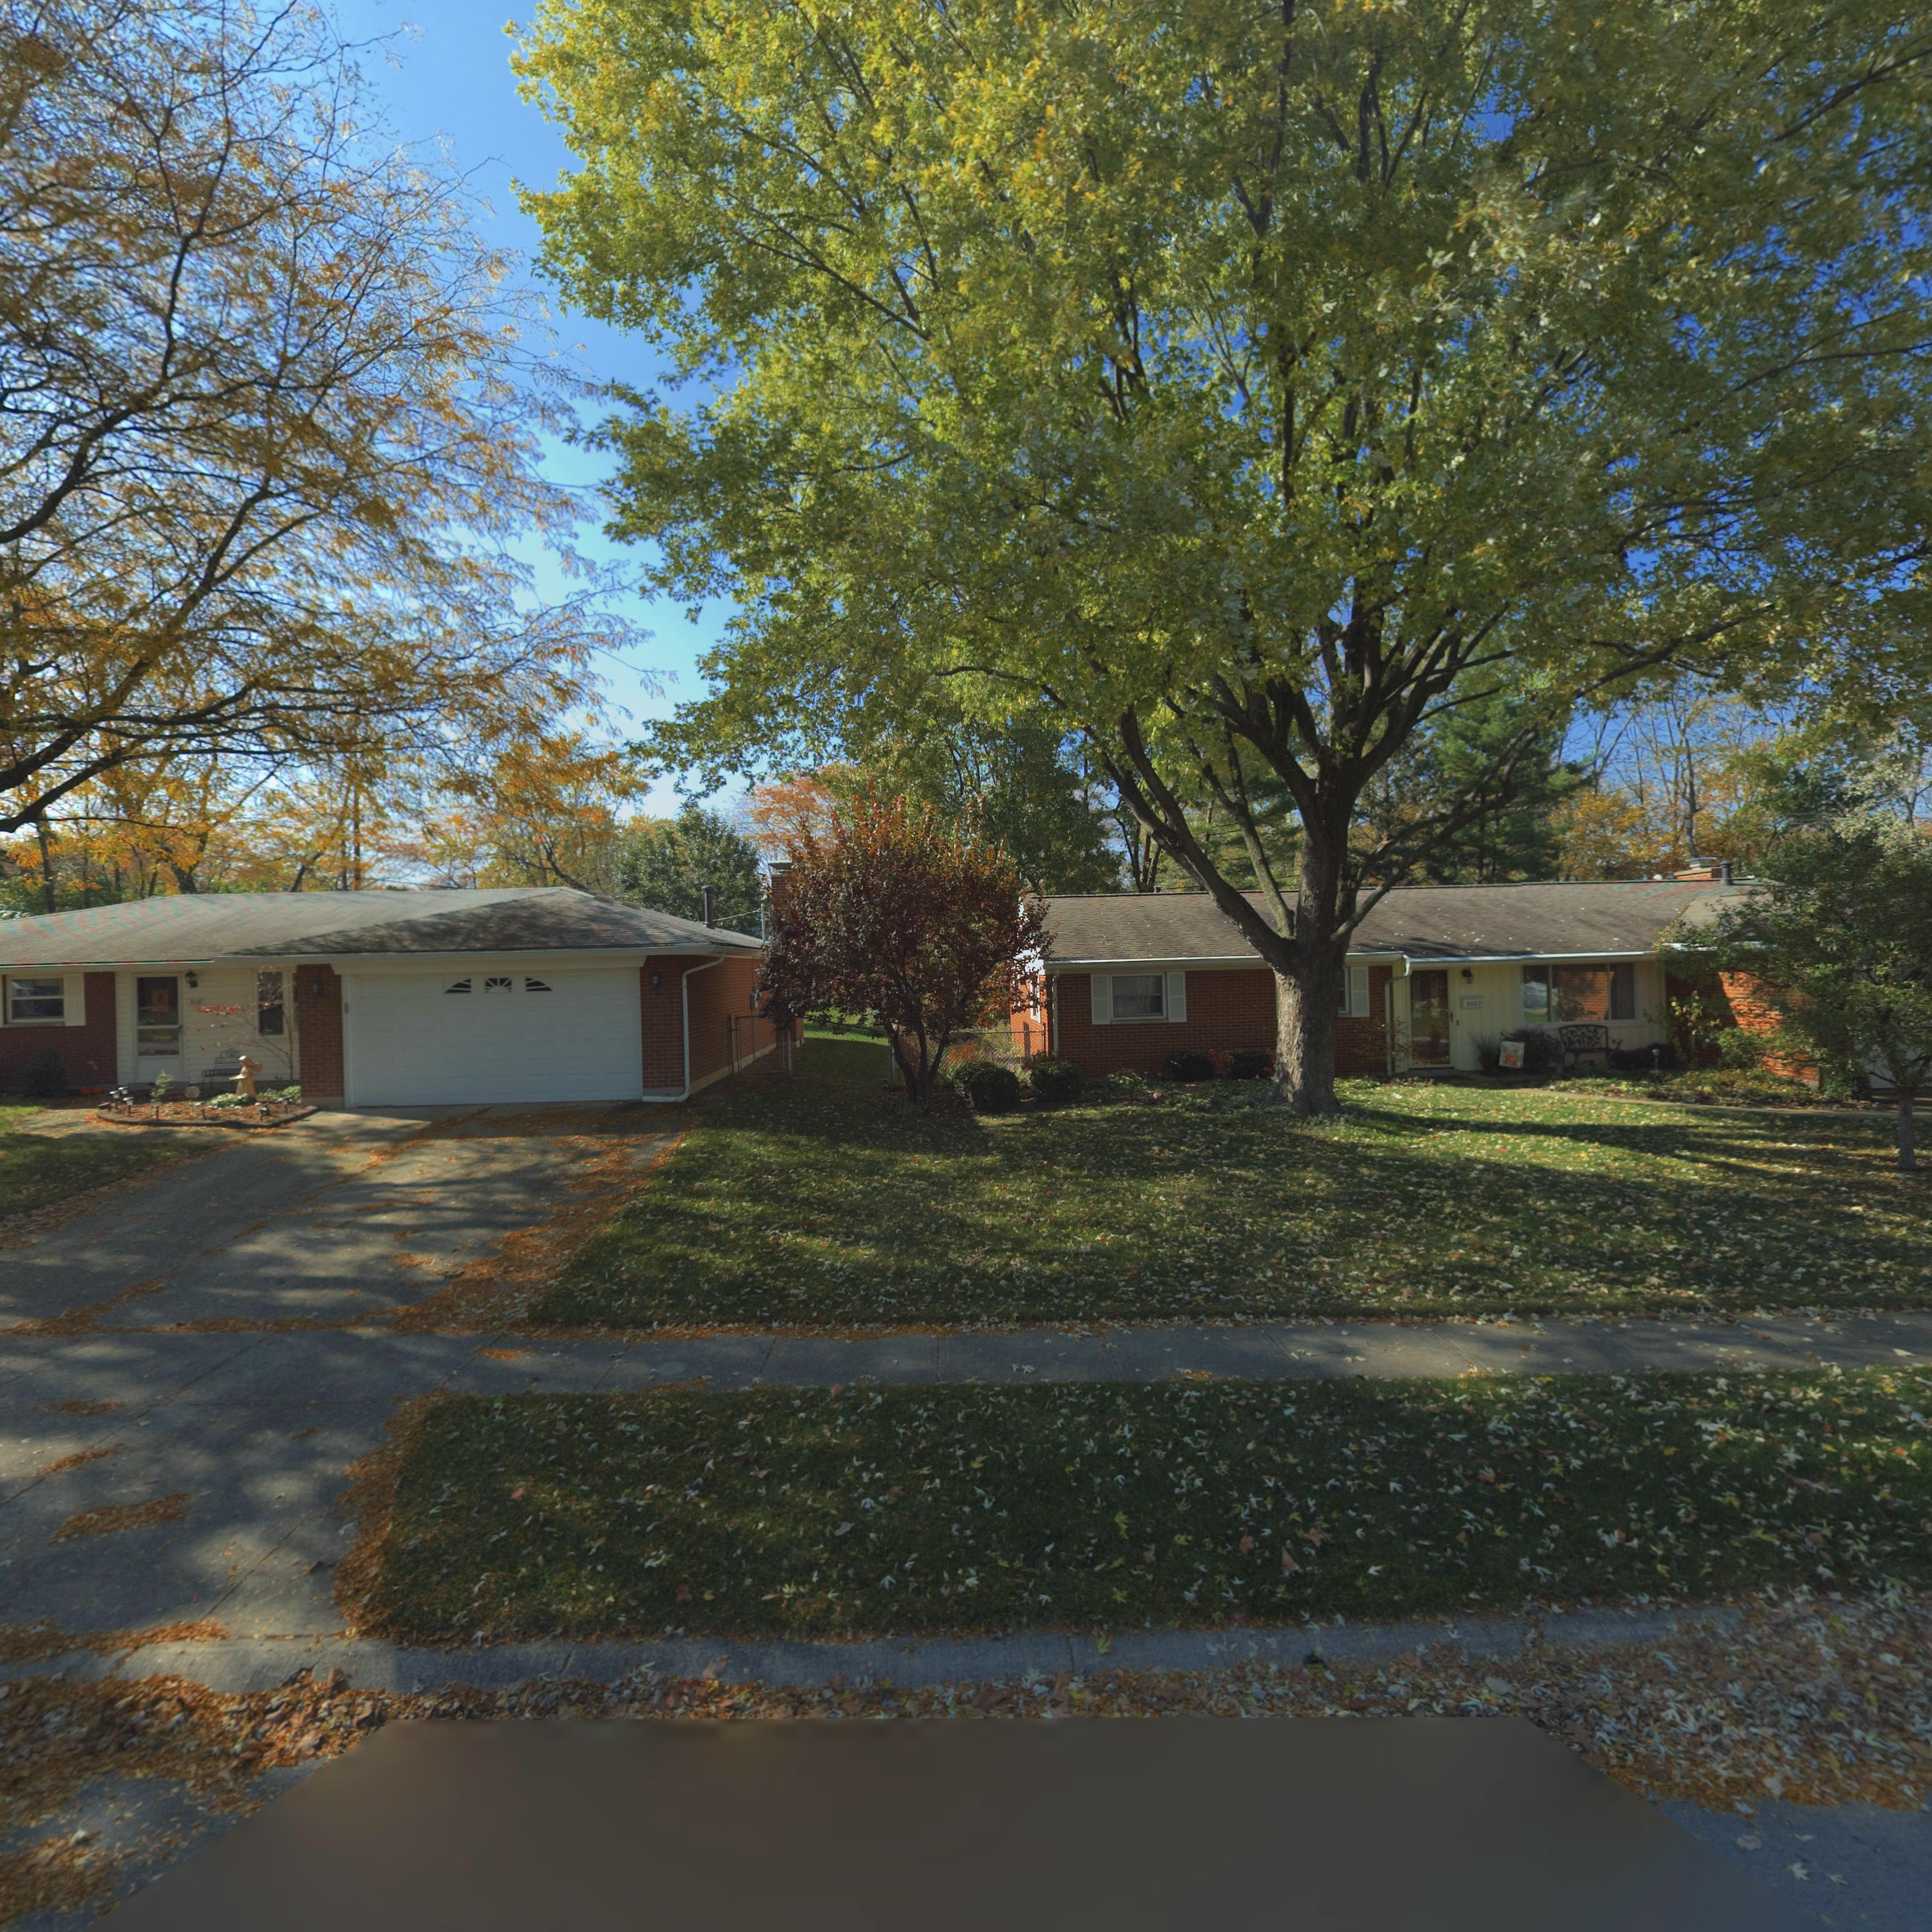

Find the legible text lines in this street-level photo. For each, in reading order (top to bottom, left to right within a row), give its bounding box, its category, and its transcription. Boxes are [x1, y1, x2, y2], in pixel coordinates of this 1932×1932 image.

[1465, 999, 1483, 1007] StreetNumber: 3665